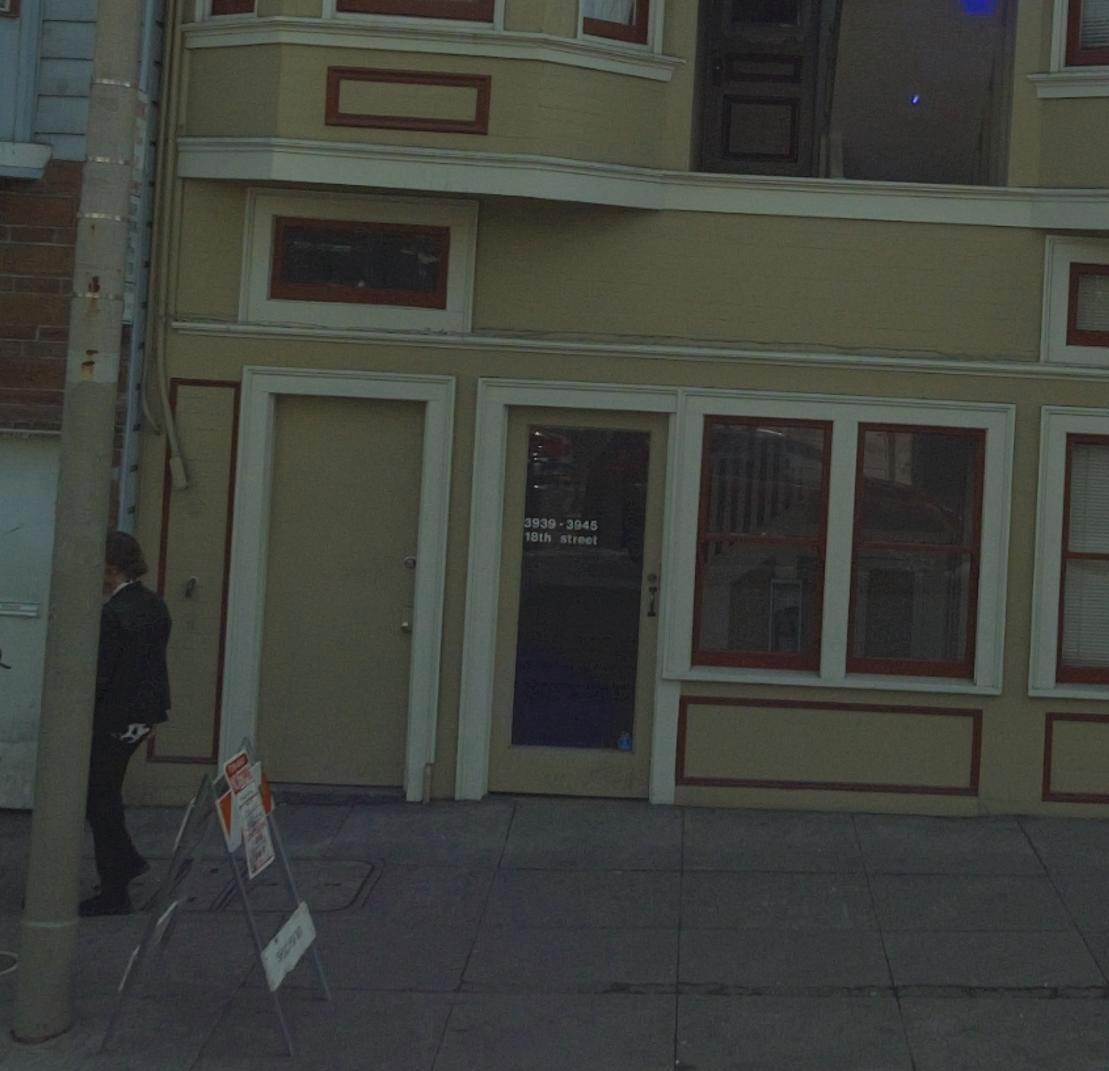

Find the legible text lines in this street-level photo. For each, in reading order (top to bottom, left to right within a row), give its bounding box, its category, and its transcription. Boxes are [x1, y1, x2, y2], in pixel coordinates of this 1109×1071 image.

[524, 516, 557, 530] StreetNumber: 3939-3945
[565, 517, 598, 531] StreetNumber: 3945
[523, 531, 599, 546] StreetName: 18TH street